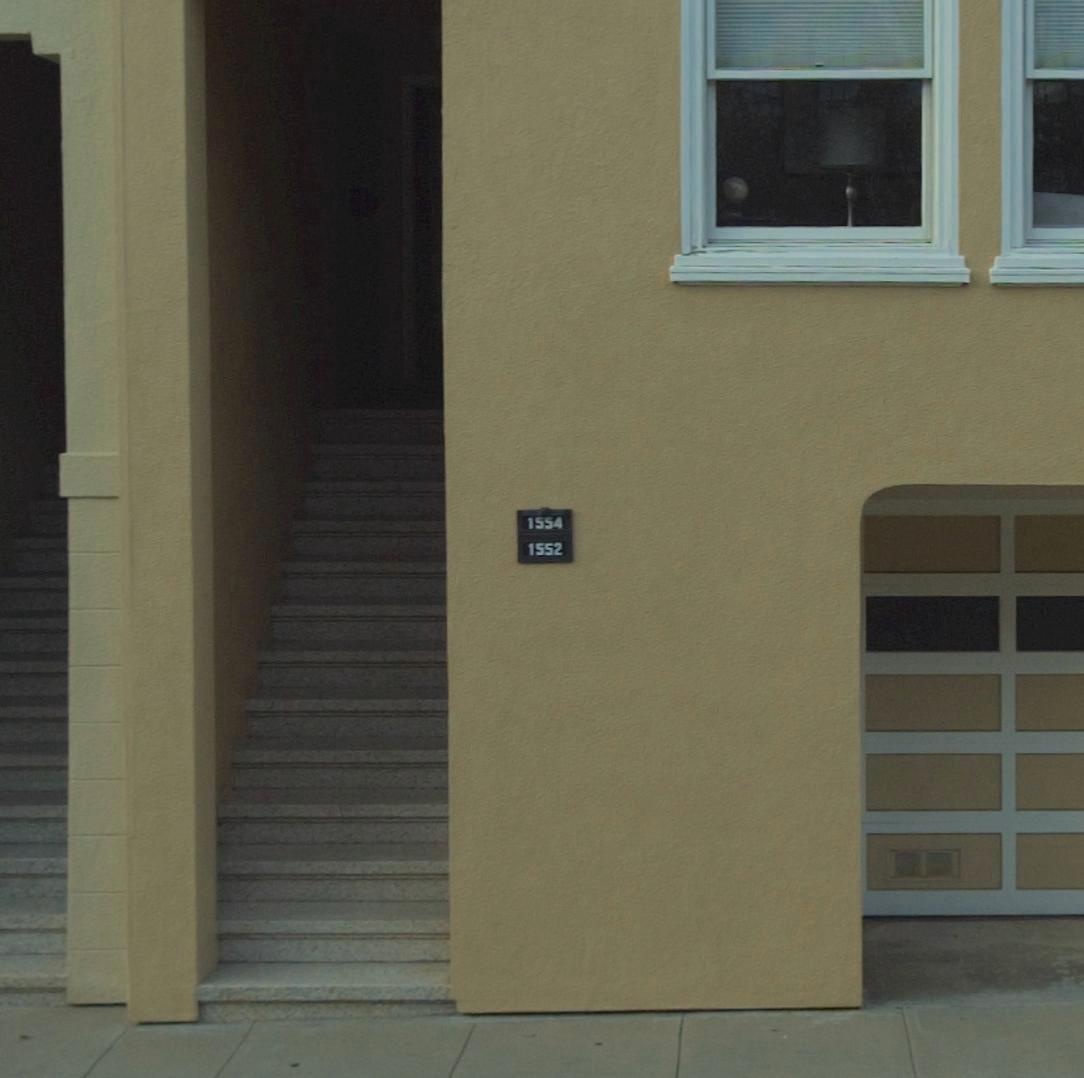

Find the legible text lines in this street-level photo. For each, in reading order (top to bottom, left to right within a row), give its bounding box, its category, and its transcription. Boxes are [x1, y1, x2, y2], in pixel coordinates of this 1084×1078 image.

[524, 514, 566, 533] StreetNumber: 1554
[526, 540, 566, 558] StreetNumber: 1552